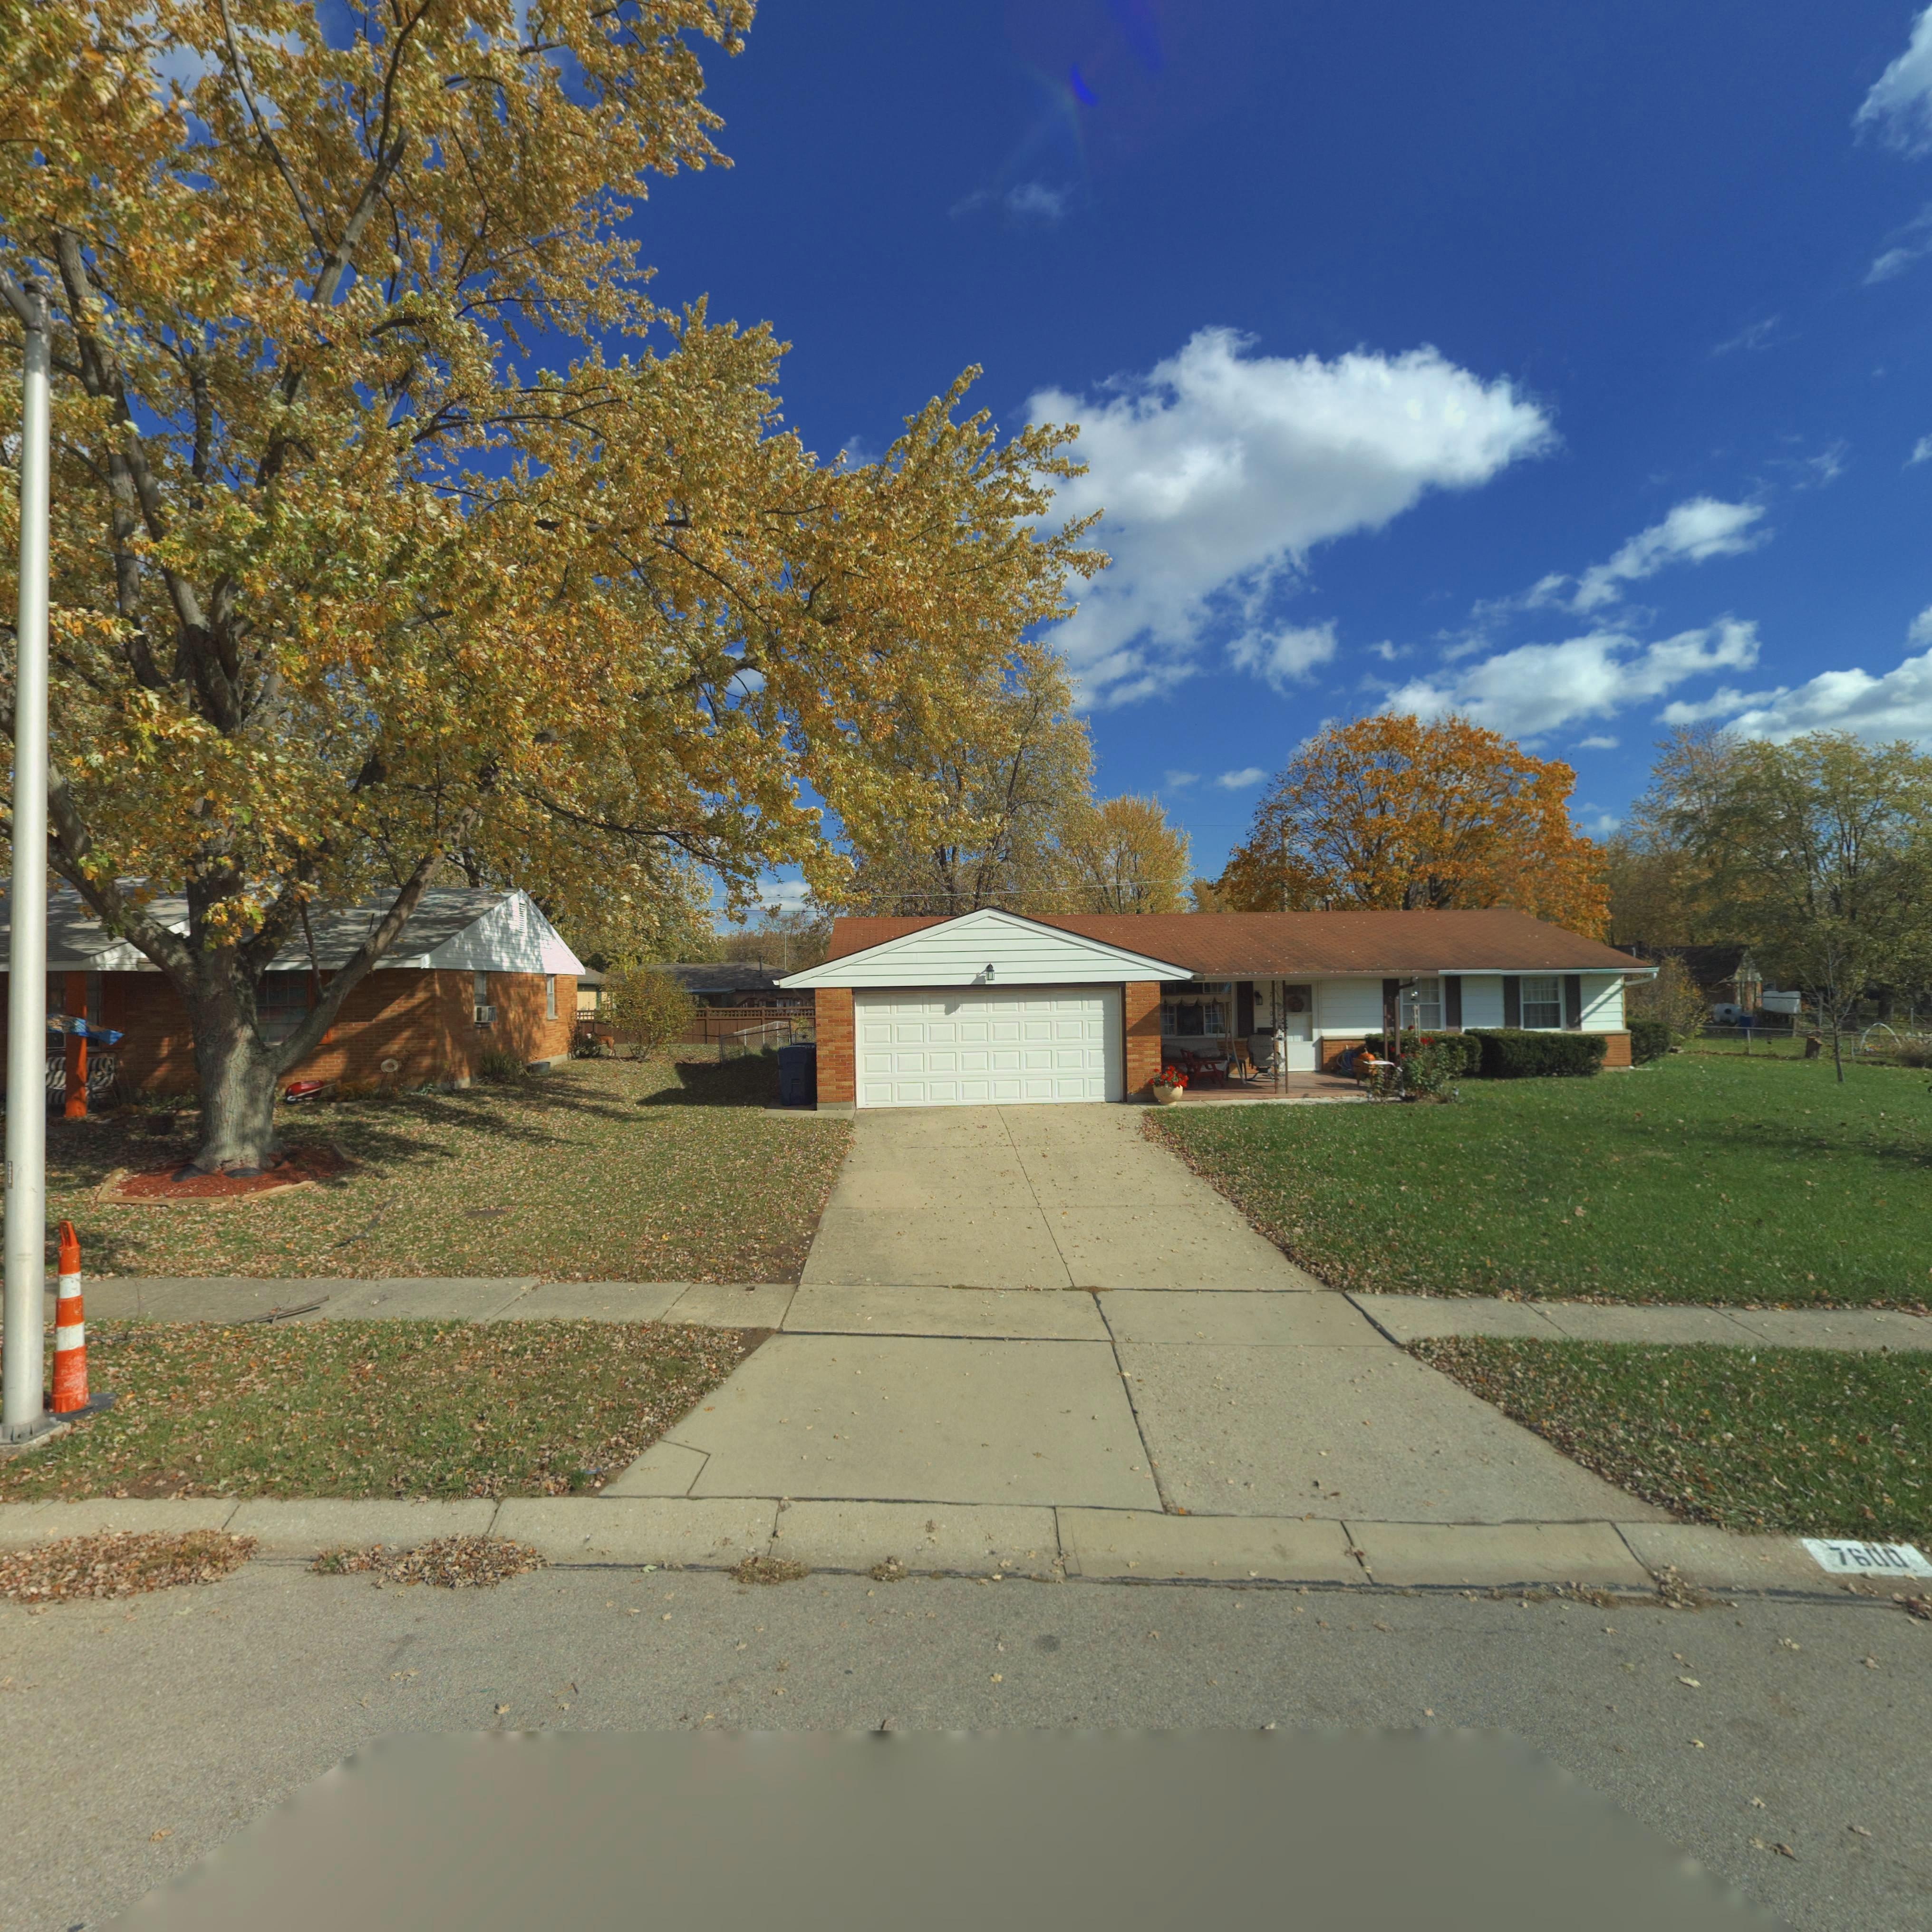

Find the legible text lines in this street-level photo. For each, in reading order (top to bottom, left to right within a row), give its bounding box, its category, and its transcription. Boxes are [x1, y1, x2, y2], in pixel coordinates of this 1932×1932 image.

[1268, 991, 1274, 1025] StreetNumber: 7600
[1827, 1546, 1912, 1569] StreetNumber: 7600